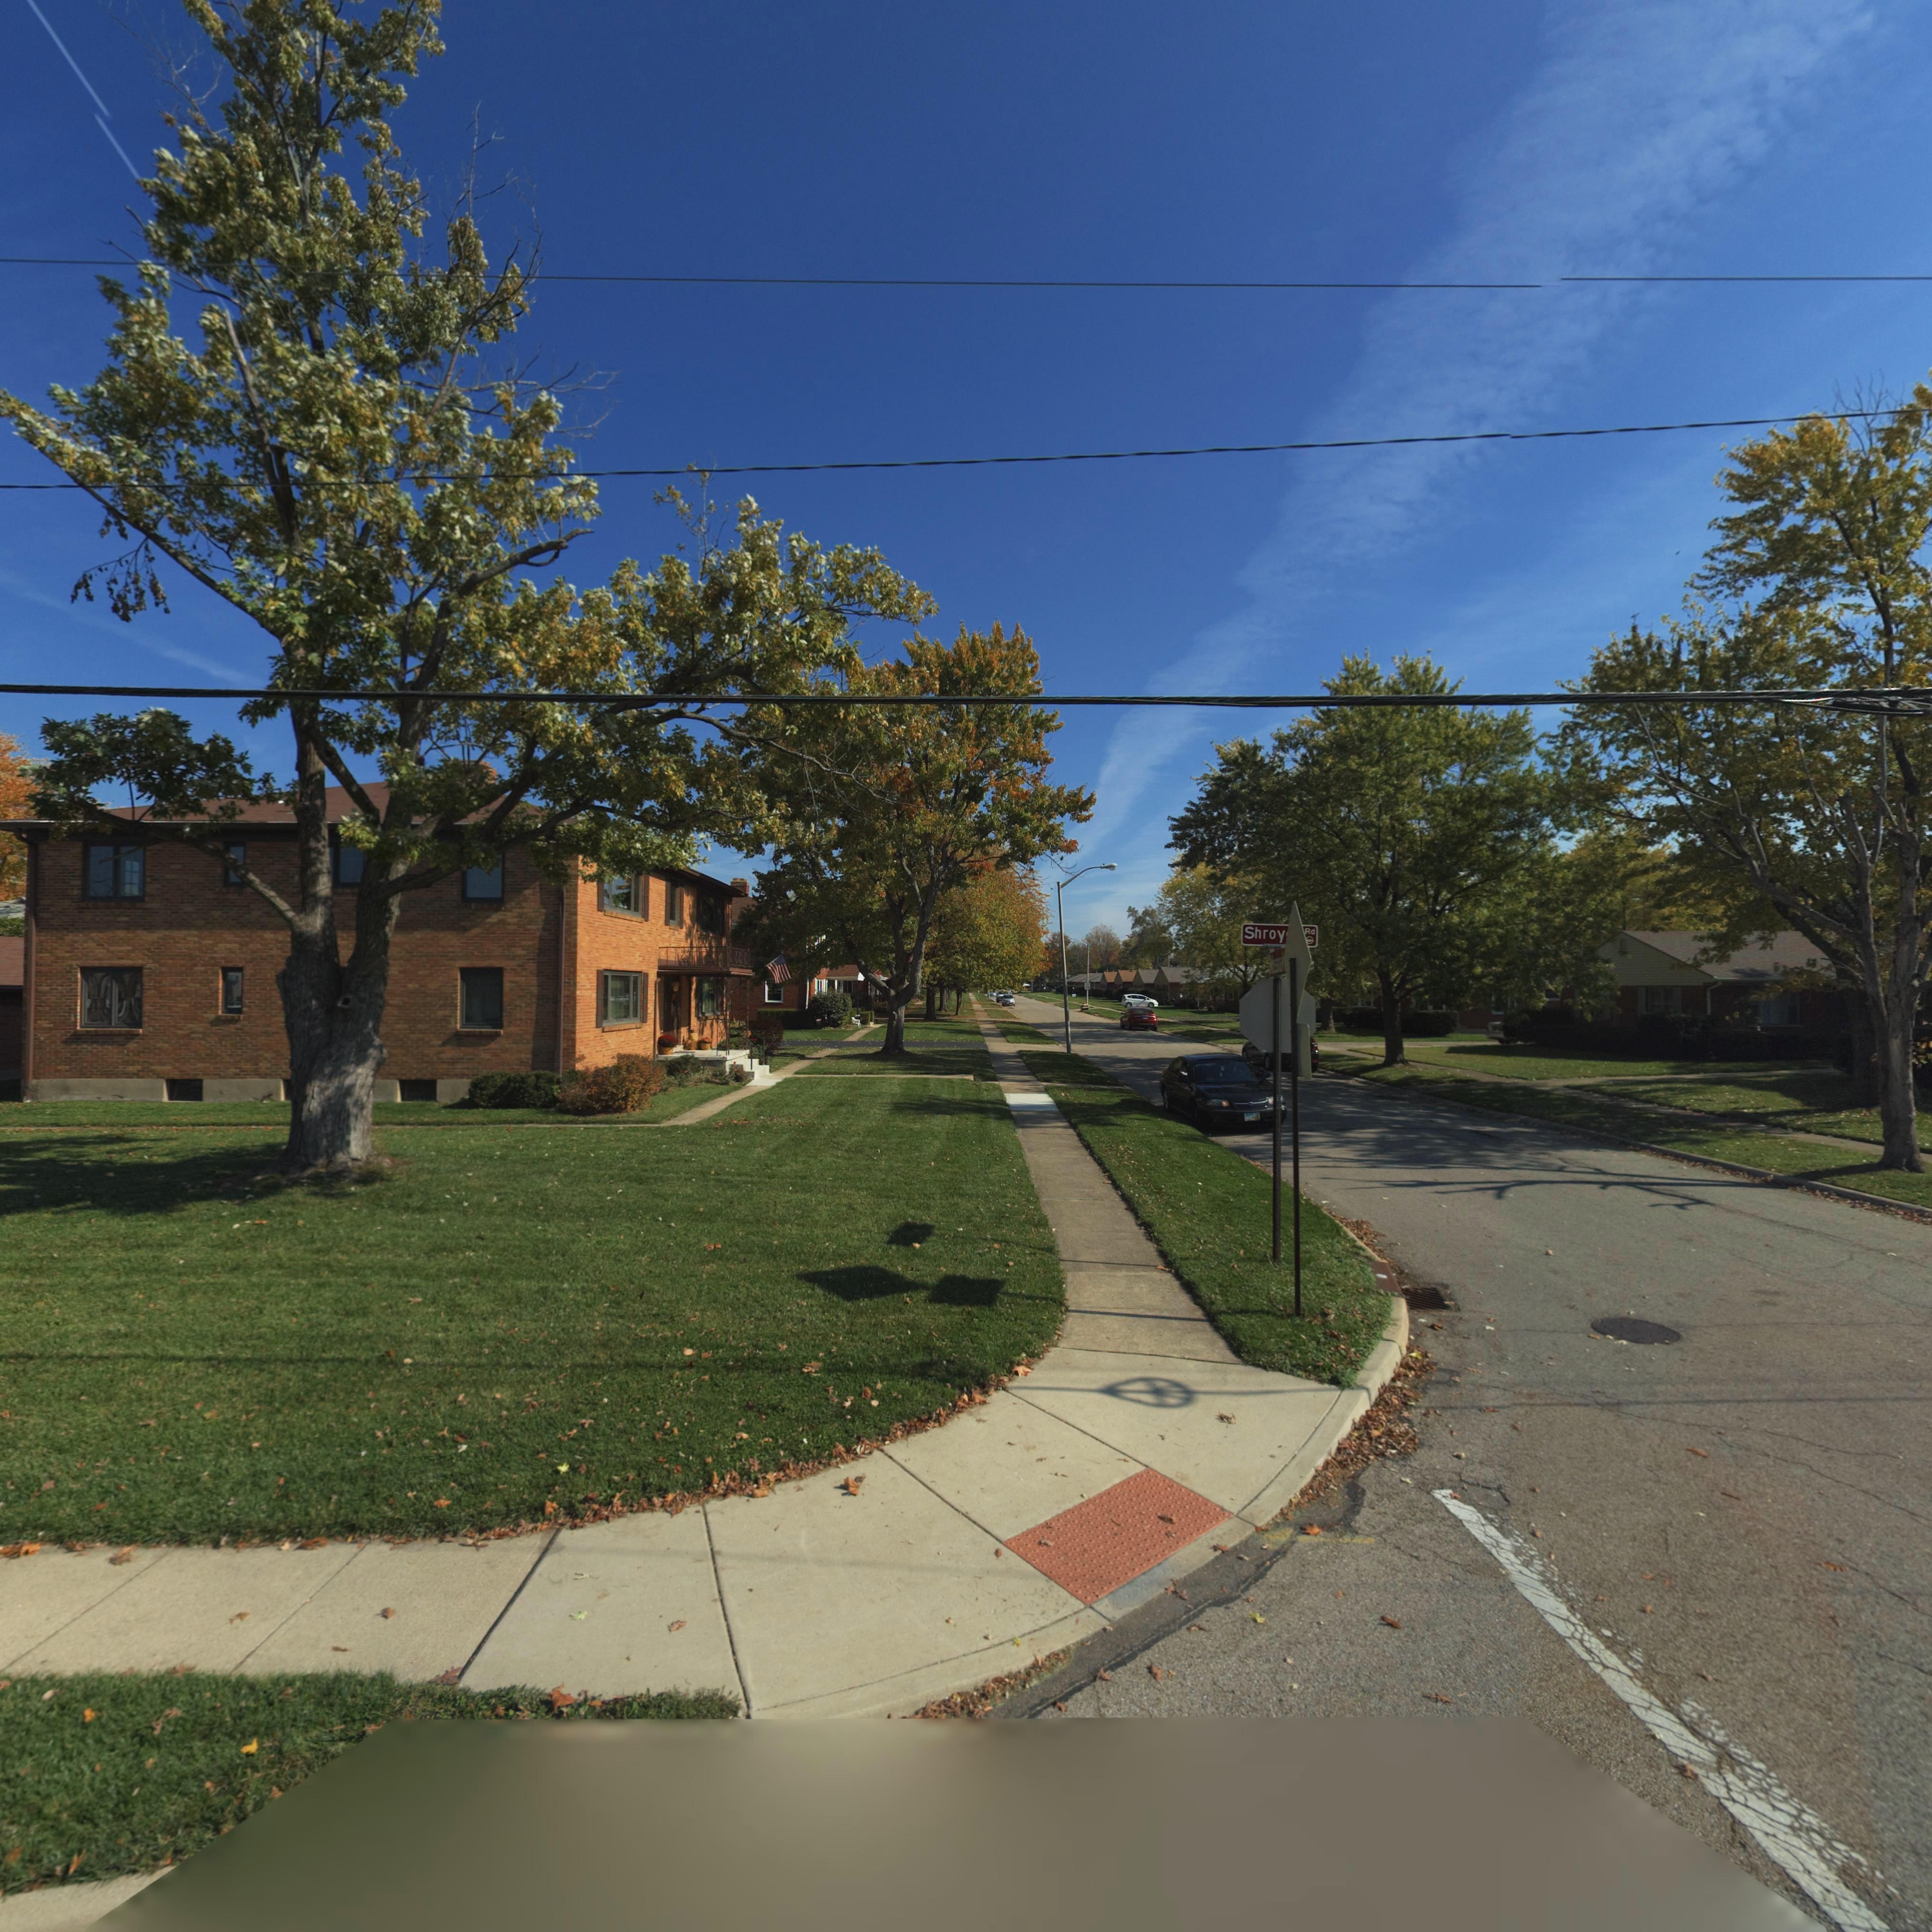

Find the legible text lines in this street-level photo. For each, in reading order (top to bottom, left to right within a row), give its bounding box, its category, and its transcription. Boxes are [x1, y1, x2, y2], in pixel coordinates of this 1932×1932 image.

[1244, 926, 1316, 944] StreetName: Shroy** Rd